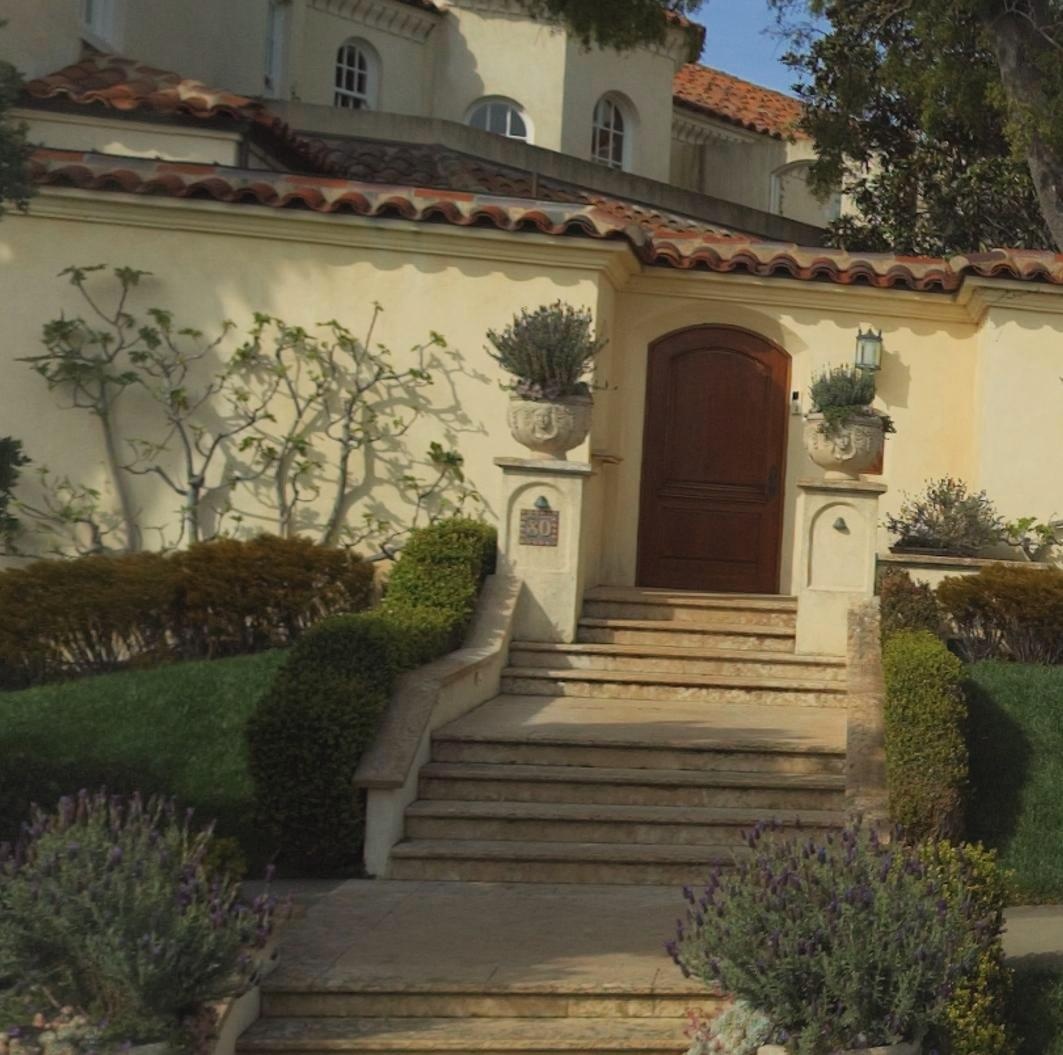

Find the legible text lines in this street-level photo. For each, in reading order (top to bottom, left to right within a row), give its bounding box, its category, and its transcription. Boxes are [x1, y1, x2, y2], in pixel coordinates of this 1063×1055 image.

[524, 518, 553, 539] StreetNumber: 80